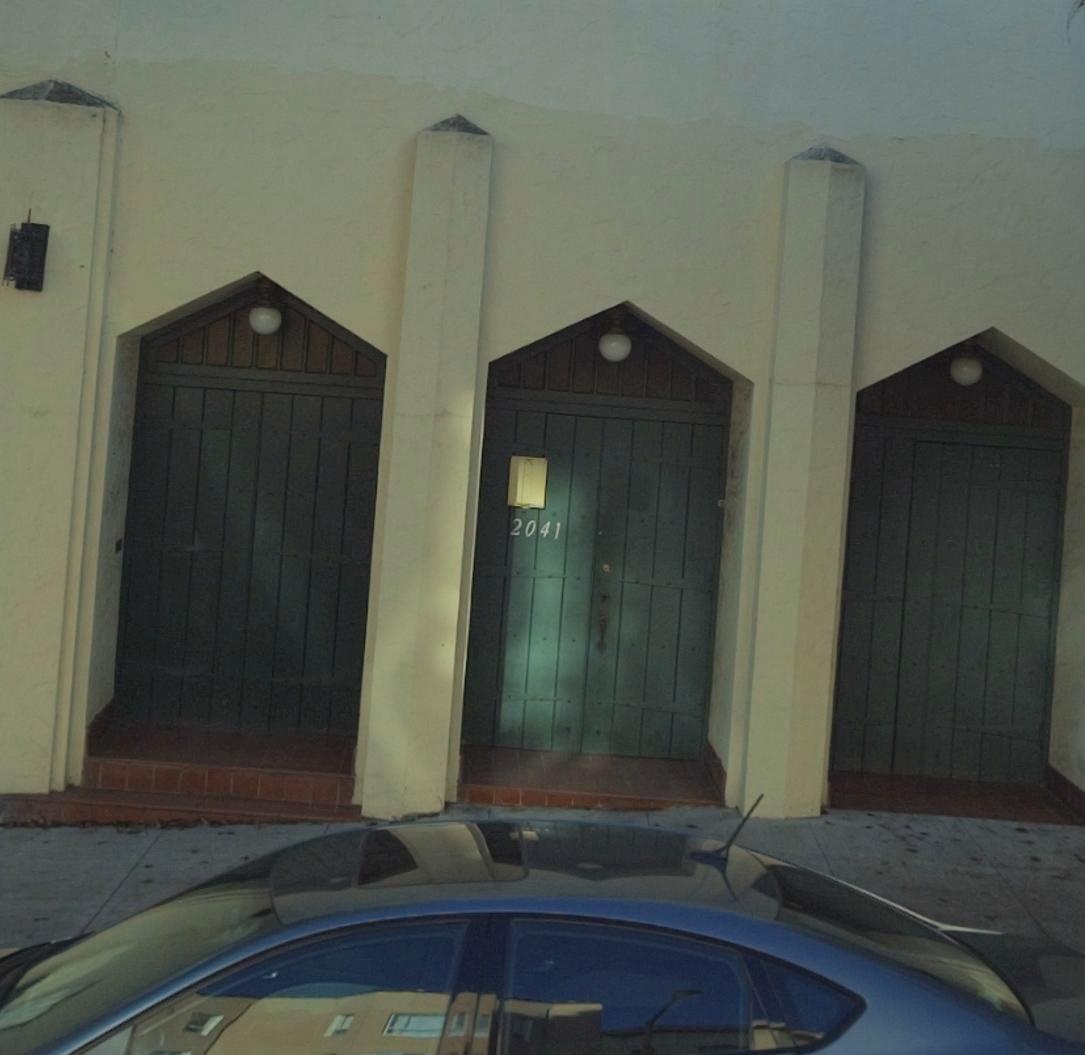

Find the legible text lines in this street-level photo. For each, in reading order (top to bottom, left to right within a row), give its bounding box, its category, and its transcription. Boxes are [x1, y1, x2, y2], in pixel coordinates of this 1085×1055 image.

[507, 516, 564, 541] StreetNumber: 2041